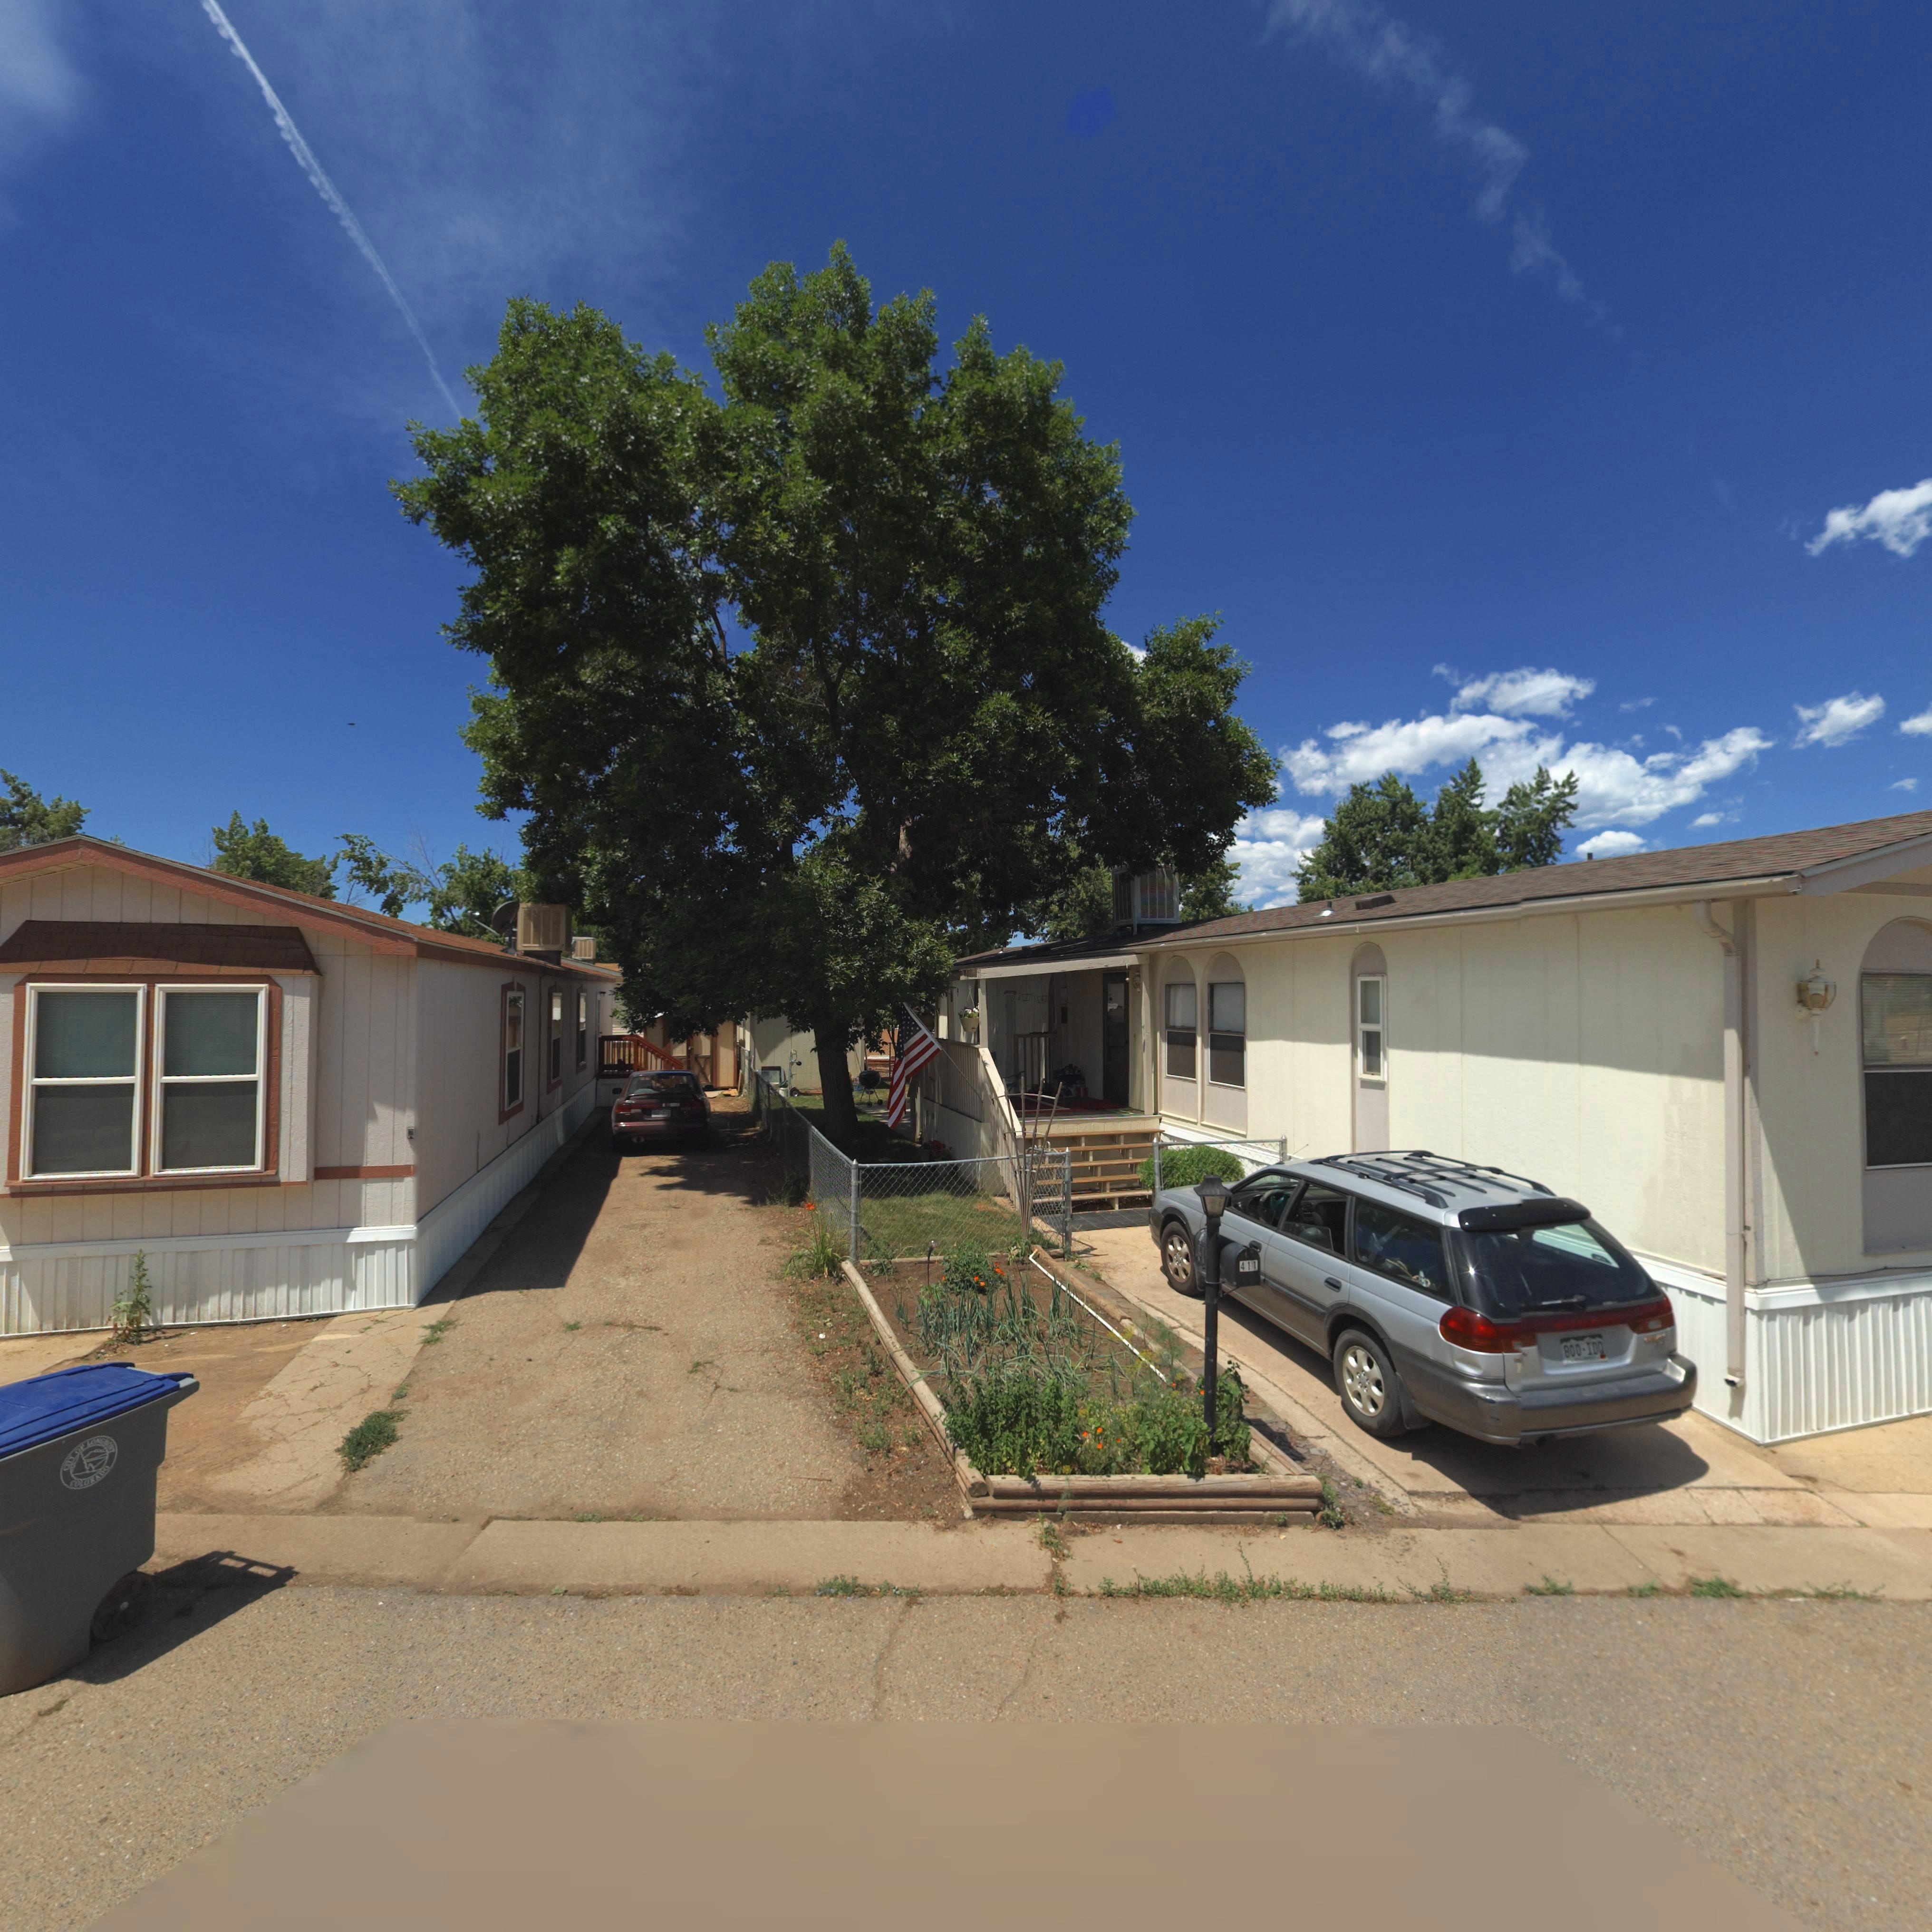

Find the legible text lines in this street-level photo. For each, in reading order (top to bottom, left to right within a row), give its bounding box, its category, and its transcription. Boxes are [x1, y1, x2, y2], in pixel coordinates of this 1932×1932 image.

[1239, 1260, 1257, 1271] StreetNumber: 411